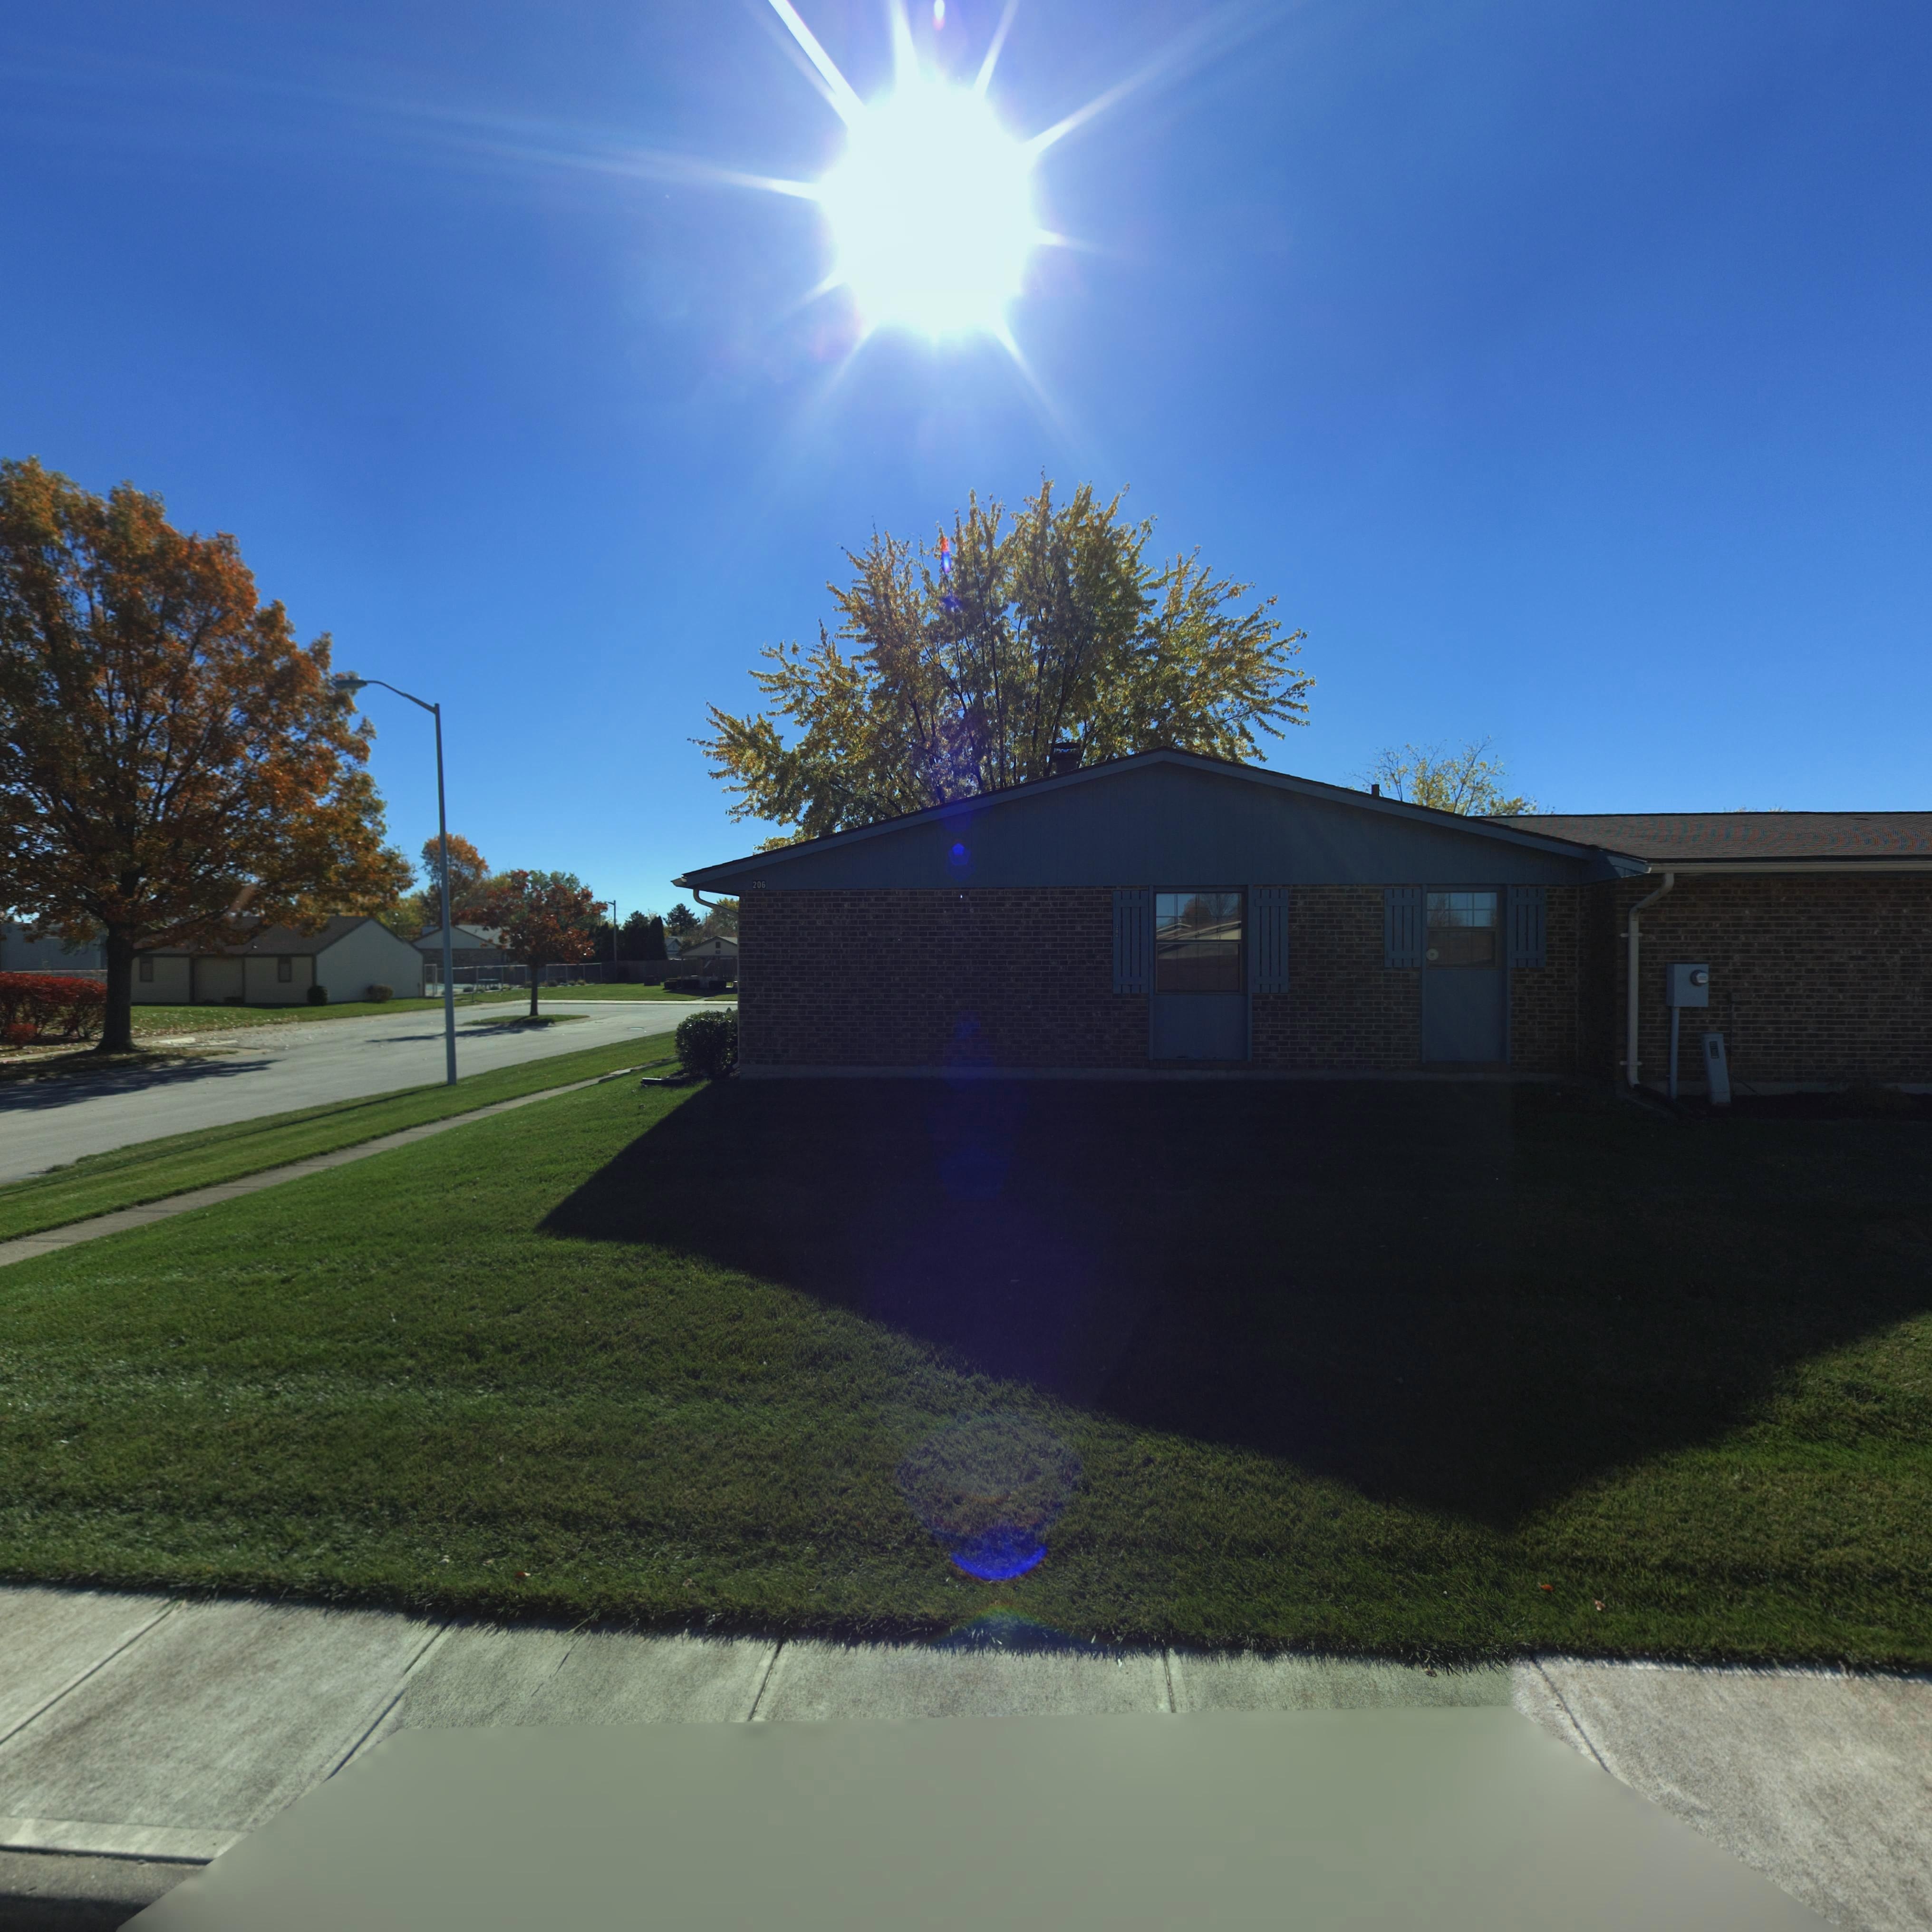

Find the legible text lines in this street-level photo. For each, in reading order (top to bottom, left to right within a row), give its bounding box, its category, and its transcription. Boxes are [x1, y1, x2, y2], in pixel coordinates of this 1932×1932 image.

[752, 880, 766, 889] StreetNumber: 206